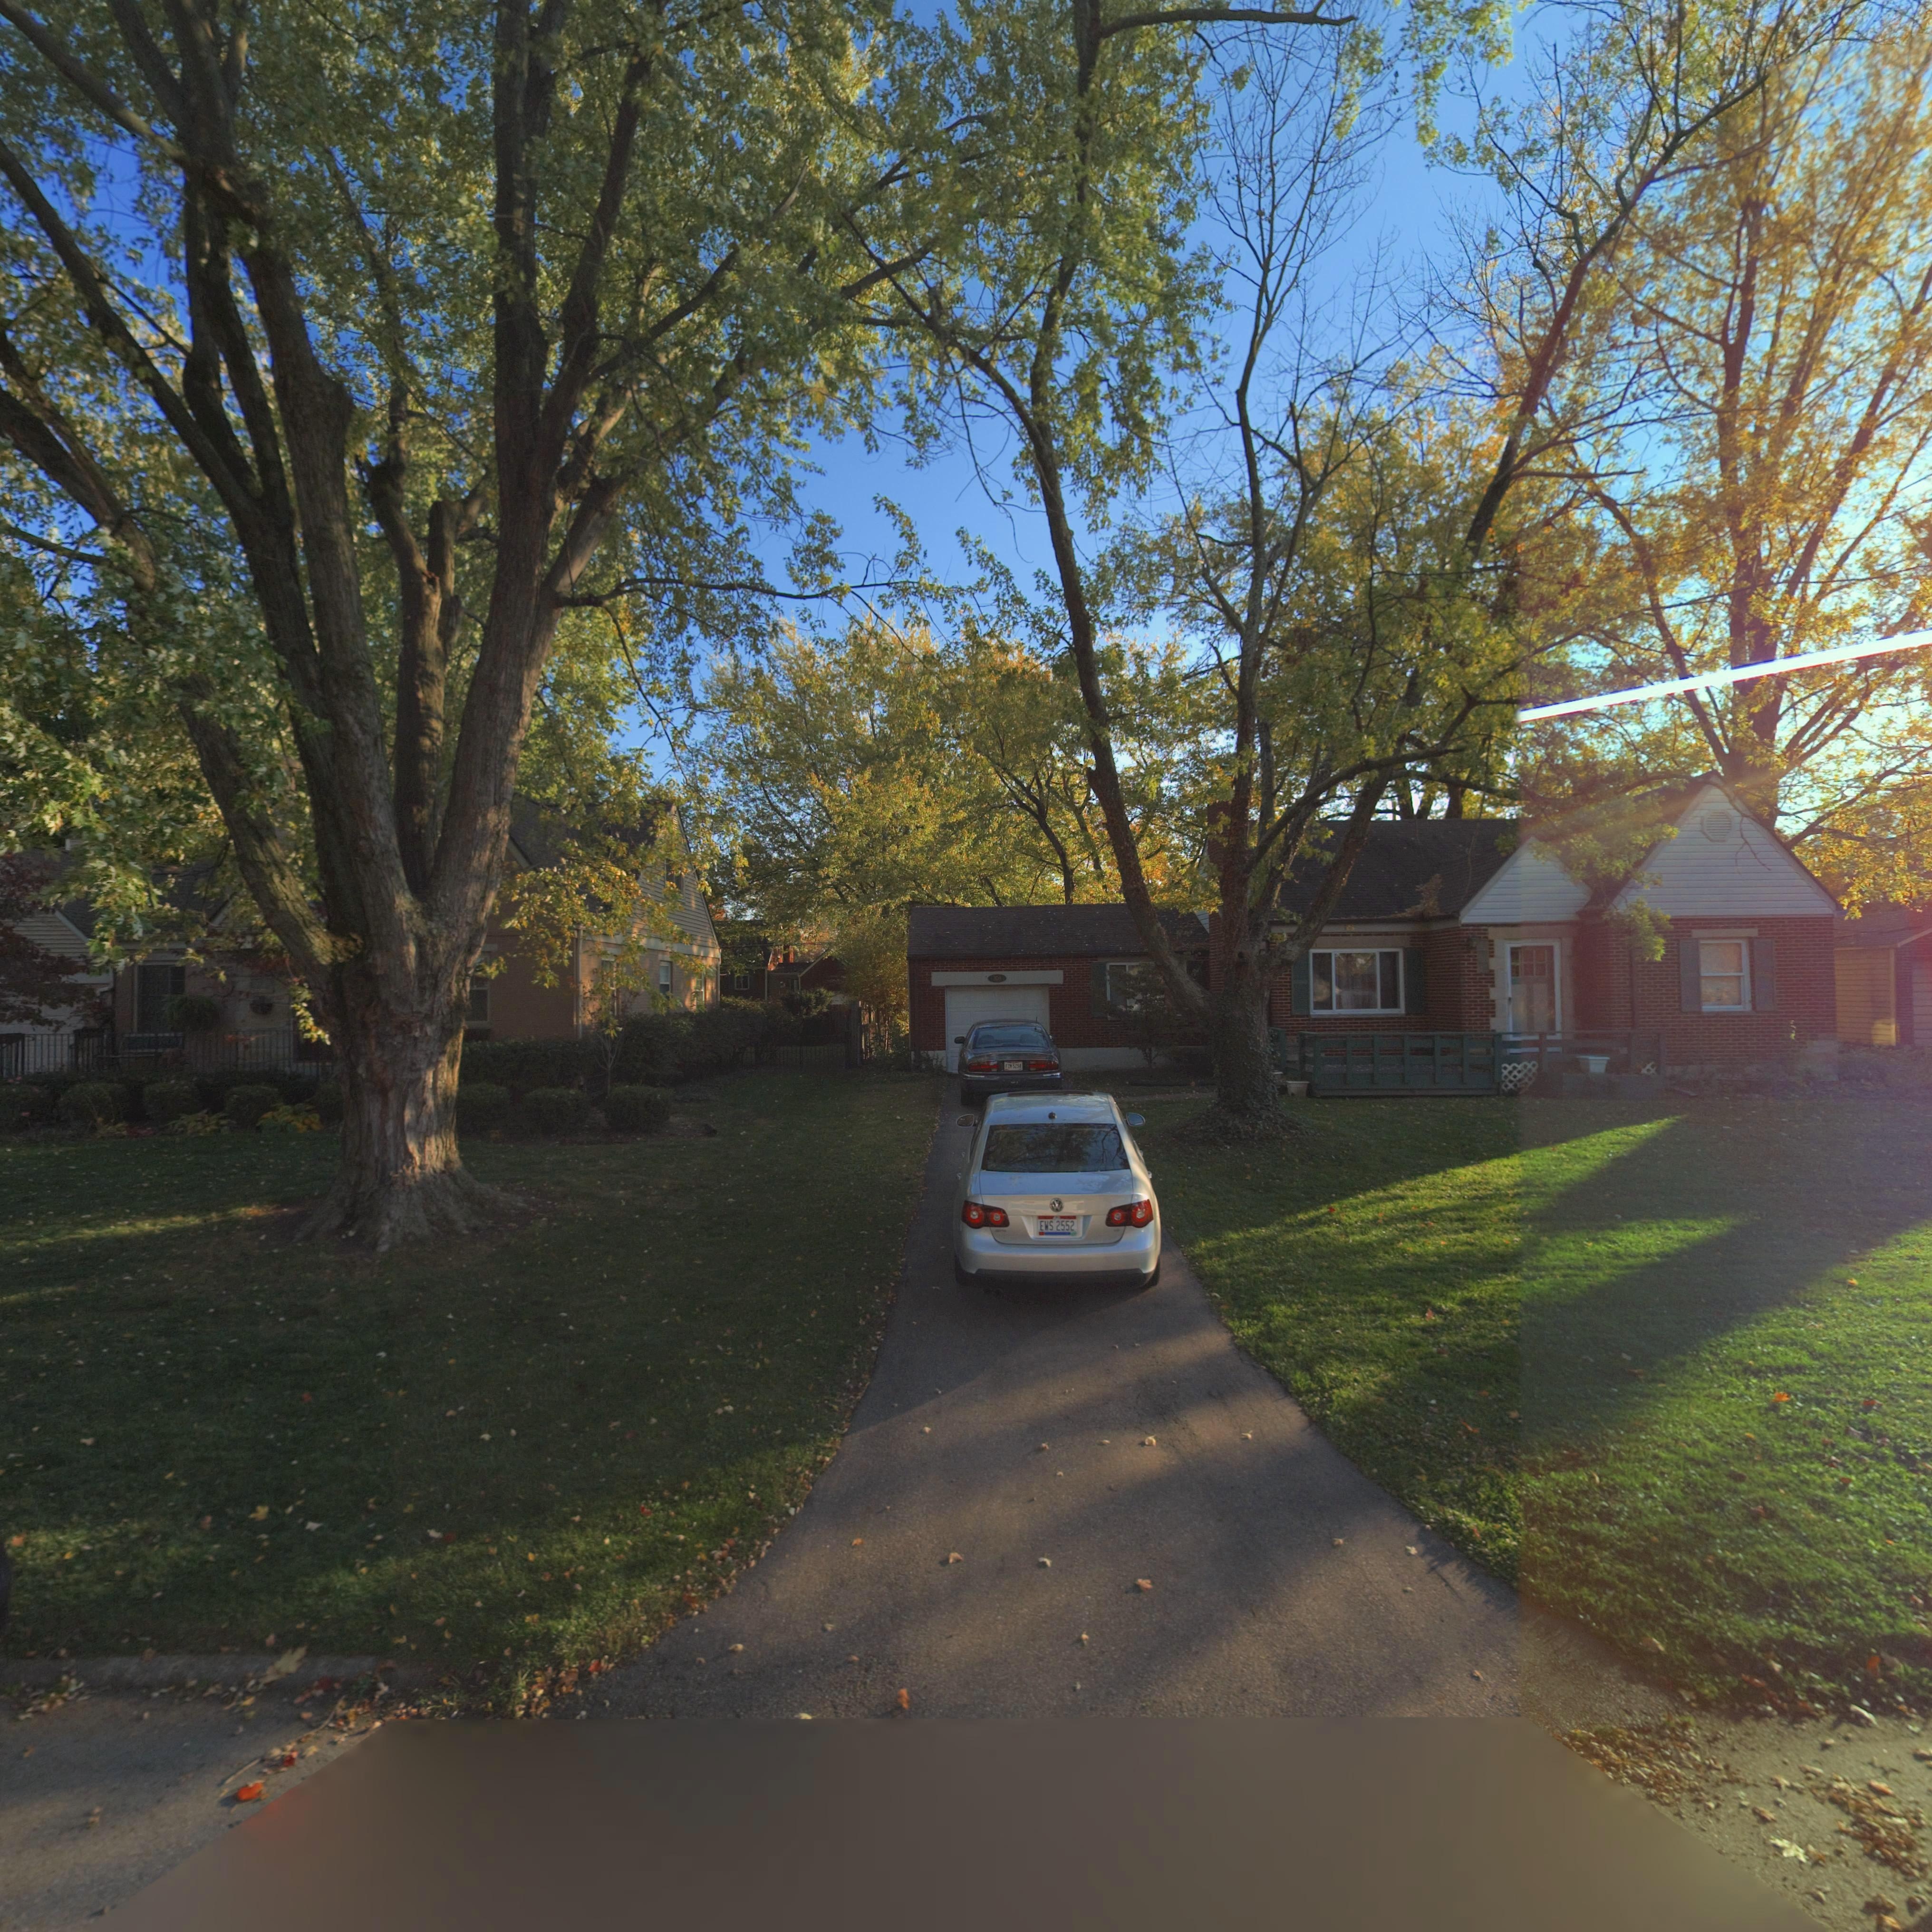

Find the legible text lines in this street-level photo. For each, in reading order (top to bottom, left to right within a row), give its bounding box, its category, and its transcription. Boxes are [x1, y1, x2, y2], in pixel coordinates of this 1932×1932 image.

[992, 975, 1002, 982] StreetNumber: 308